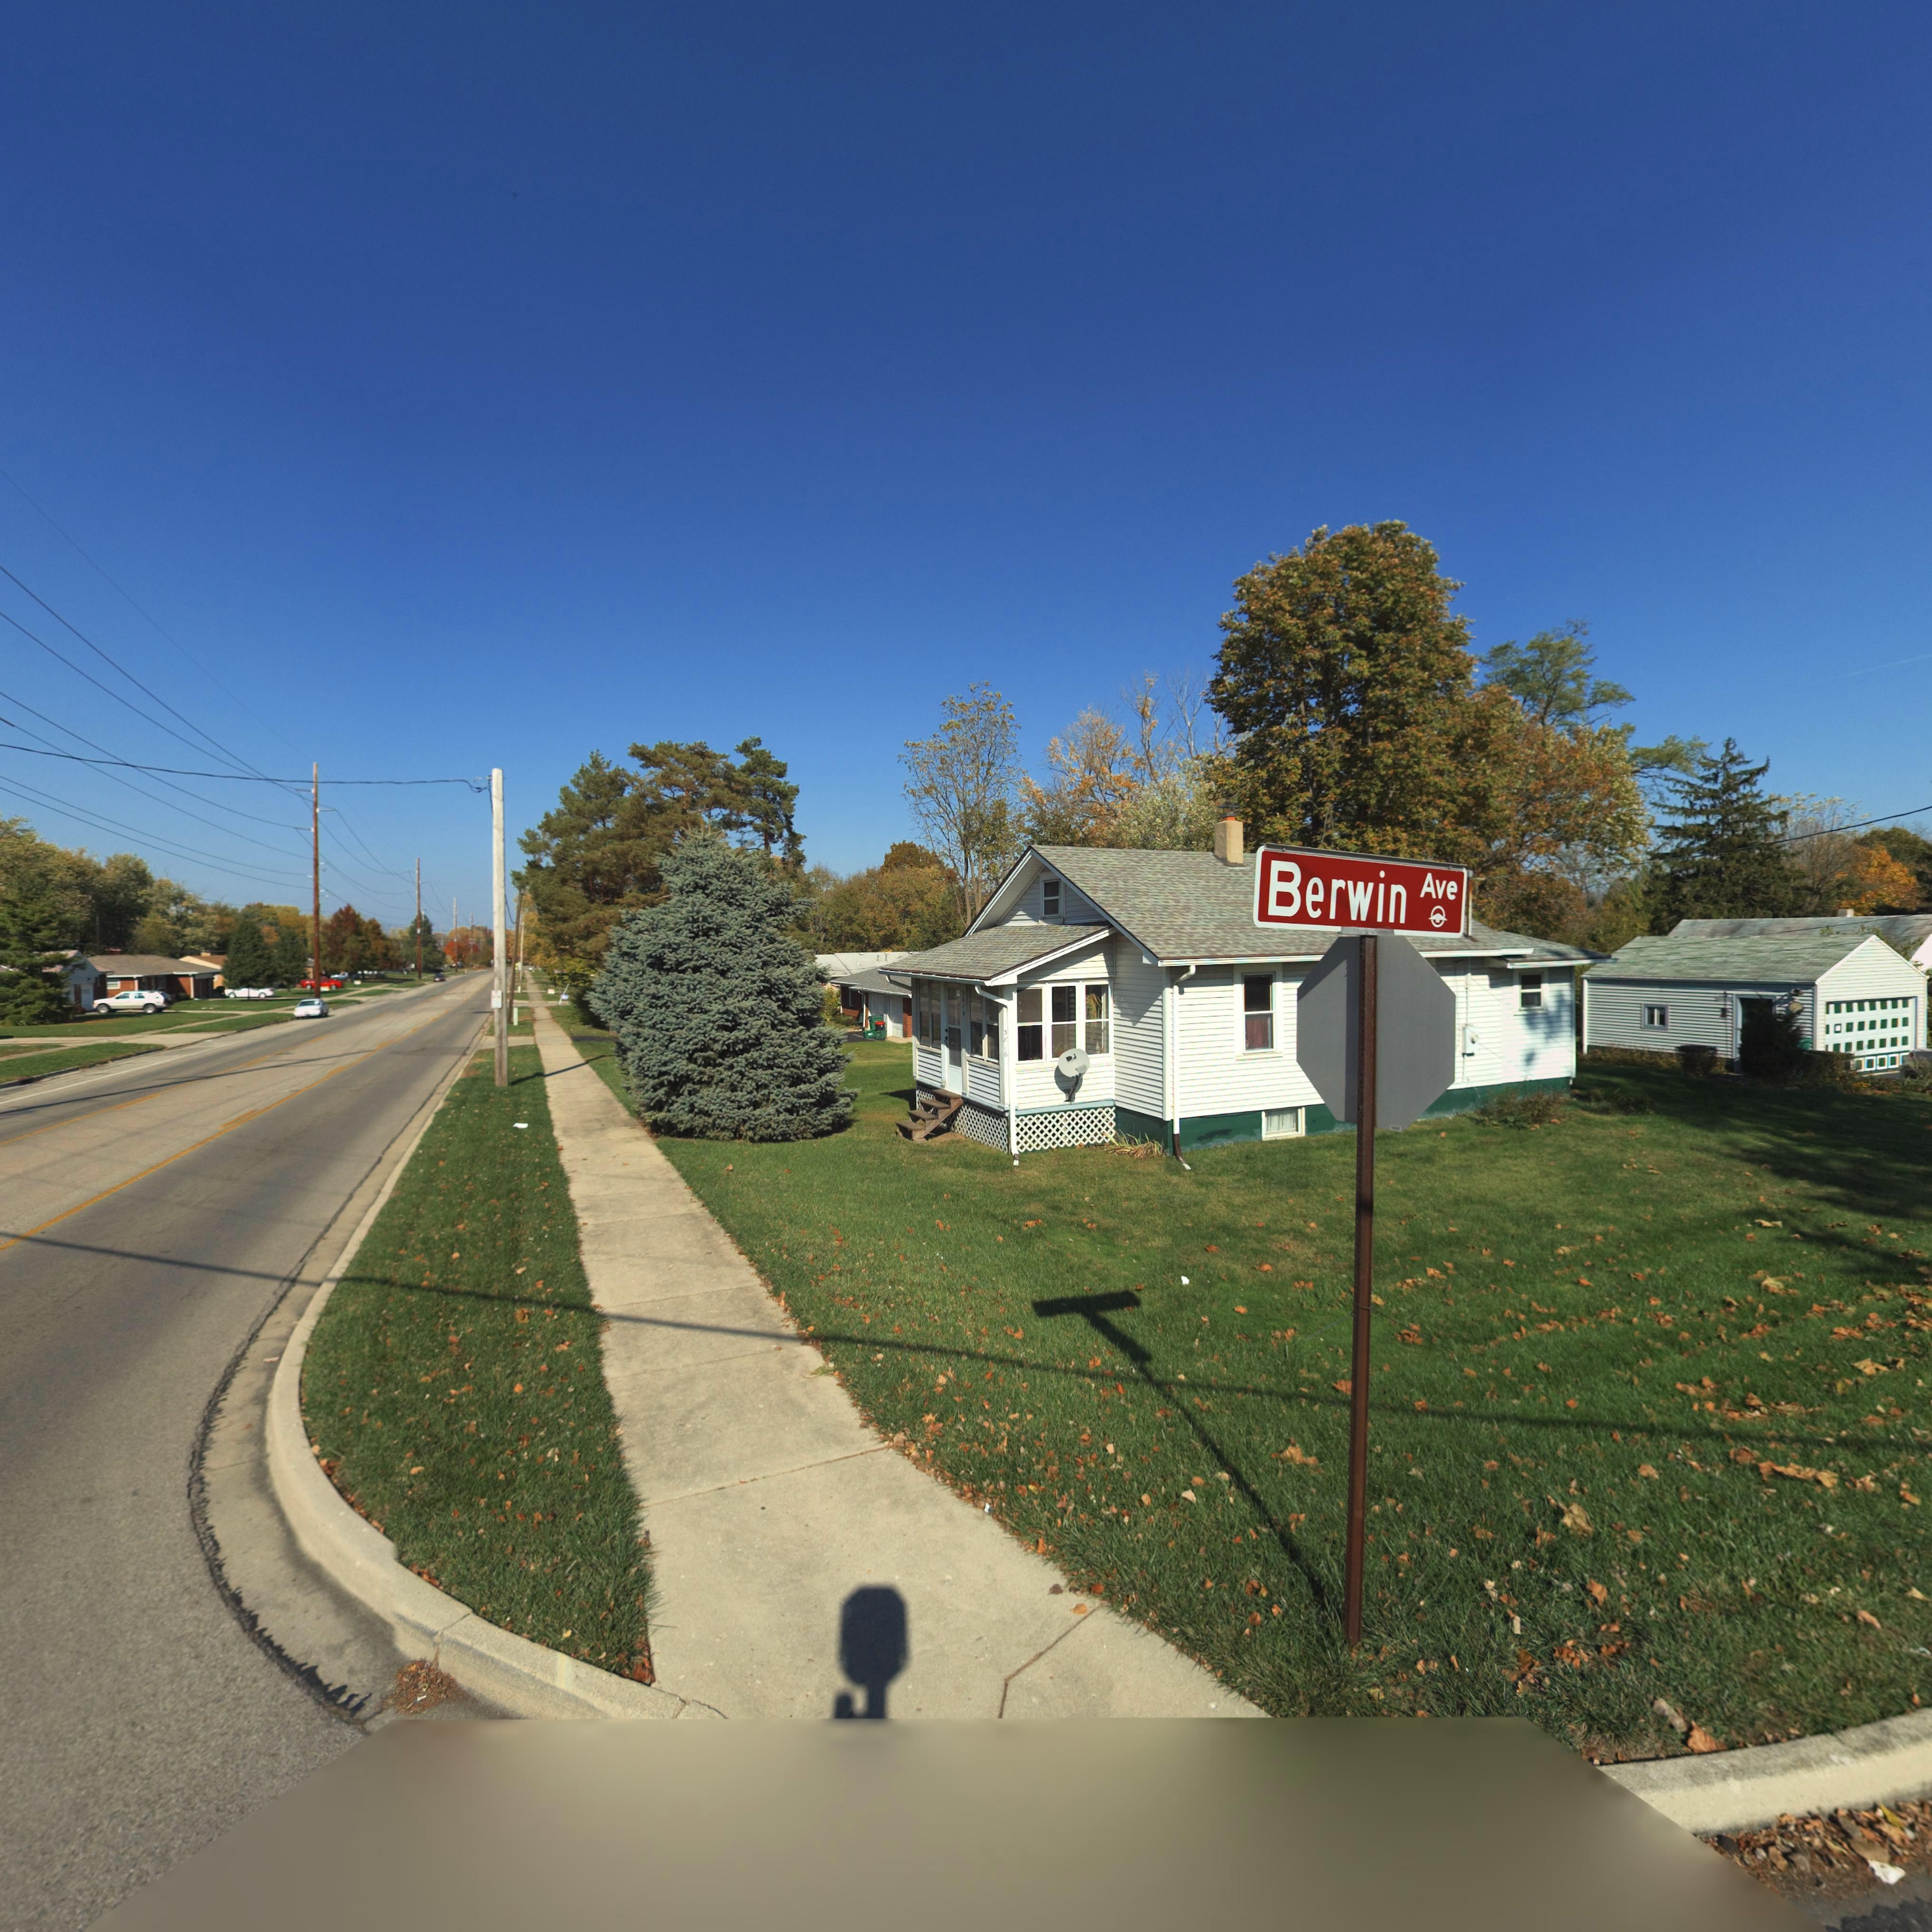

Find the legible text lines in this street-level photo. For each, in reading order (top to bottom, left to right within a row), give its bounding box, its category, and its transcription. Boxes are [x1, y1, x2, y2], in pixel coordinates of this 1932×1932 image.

[1265, 858, 1458, 925] StreetName: Berwin Ave
[961, 989, 966, 1016] StreetNumber: 3816
[1004, 1029, 1008, 1058] StreetNumber: 3816